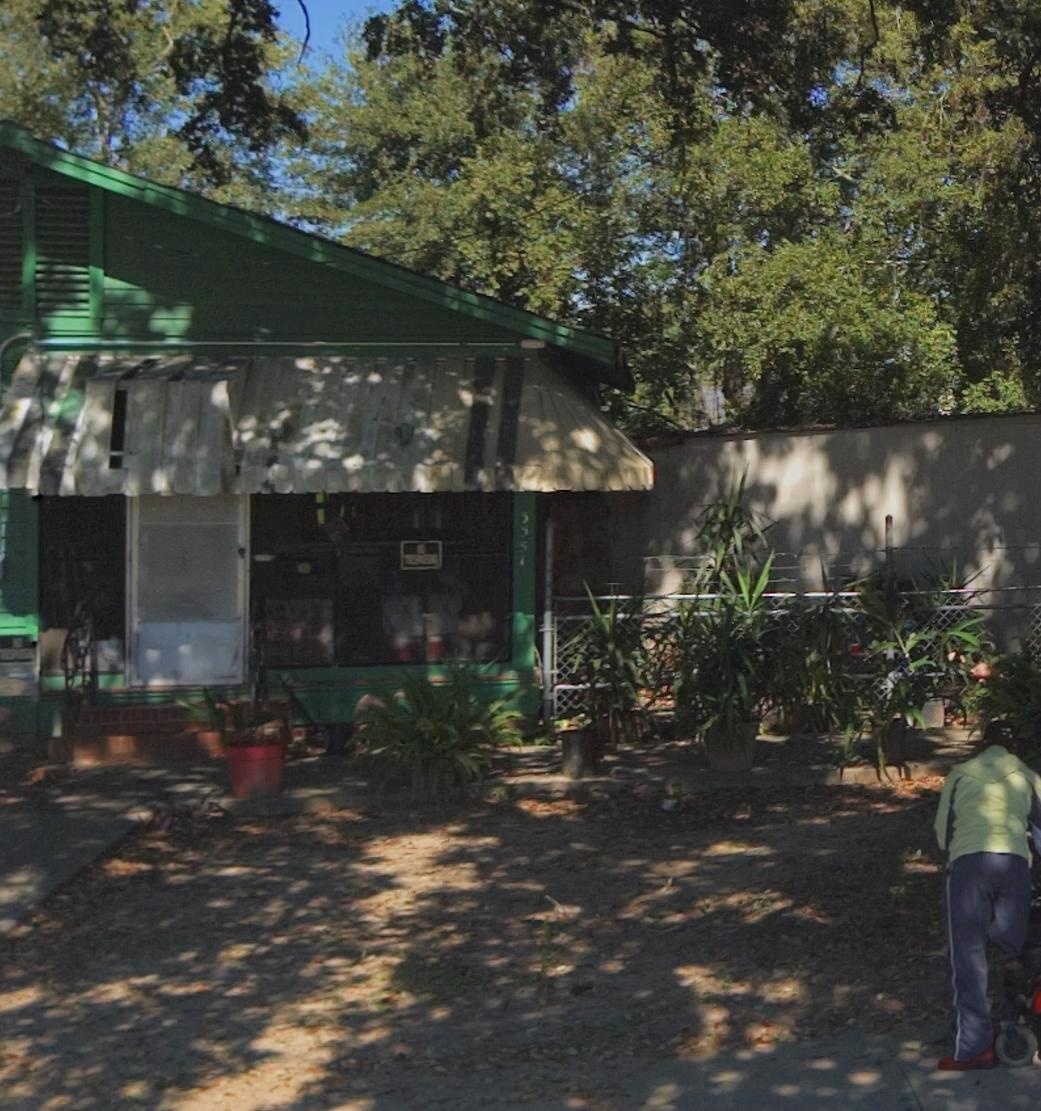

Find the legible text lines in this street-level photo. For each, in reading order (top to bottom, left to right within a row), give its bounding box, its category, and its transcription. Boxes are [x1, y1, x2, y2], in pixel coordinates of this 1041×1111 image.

[517, 509, 532, 569] StreetNumber: 3551
[415, 542, 427, 555] None: NO
[401, 553, 440, 566] None: TRESPASSING